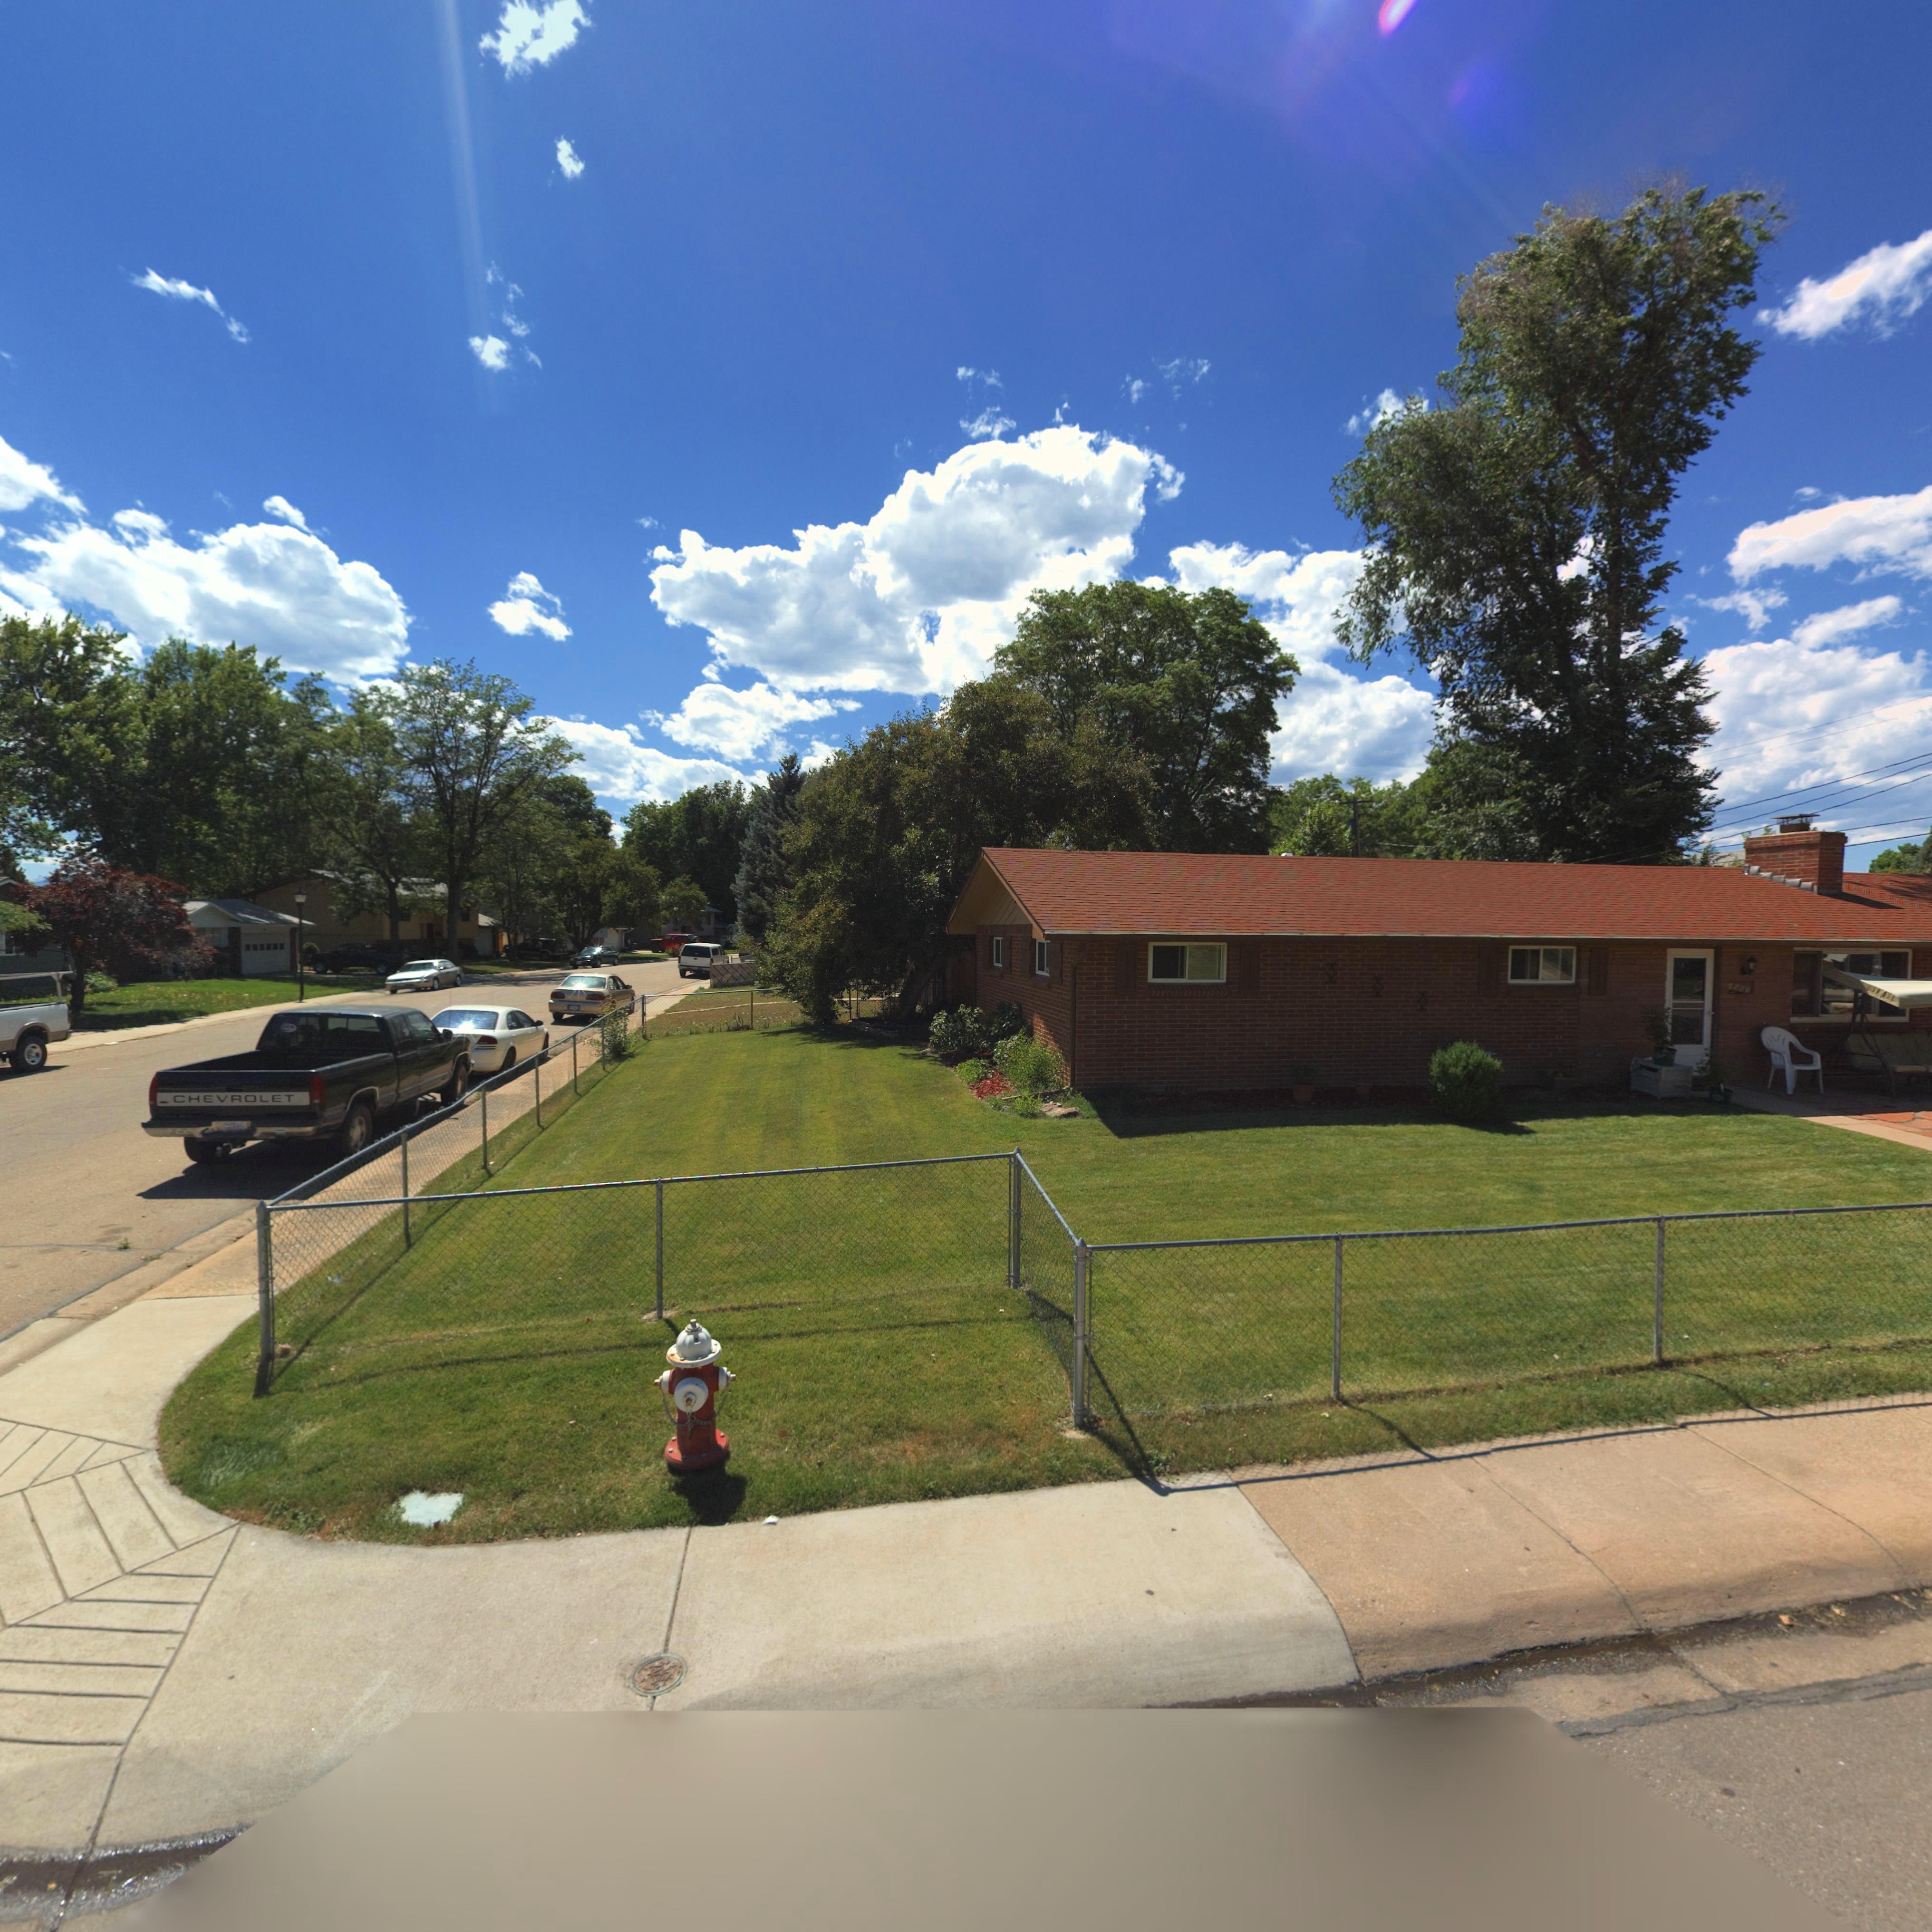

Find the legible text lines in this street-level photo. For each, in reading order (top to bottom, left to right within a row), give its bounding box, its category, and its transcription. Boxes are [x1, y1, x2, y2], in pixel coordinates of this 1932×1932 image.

[1728, 983, 1750, 993] StreetNumber: *551